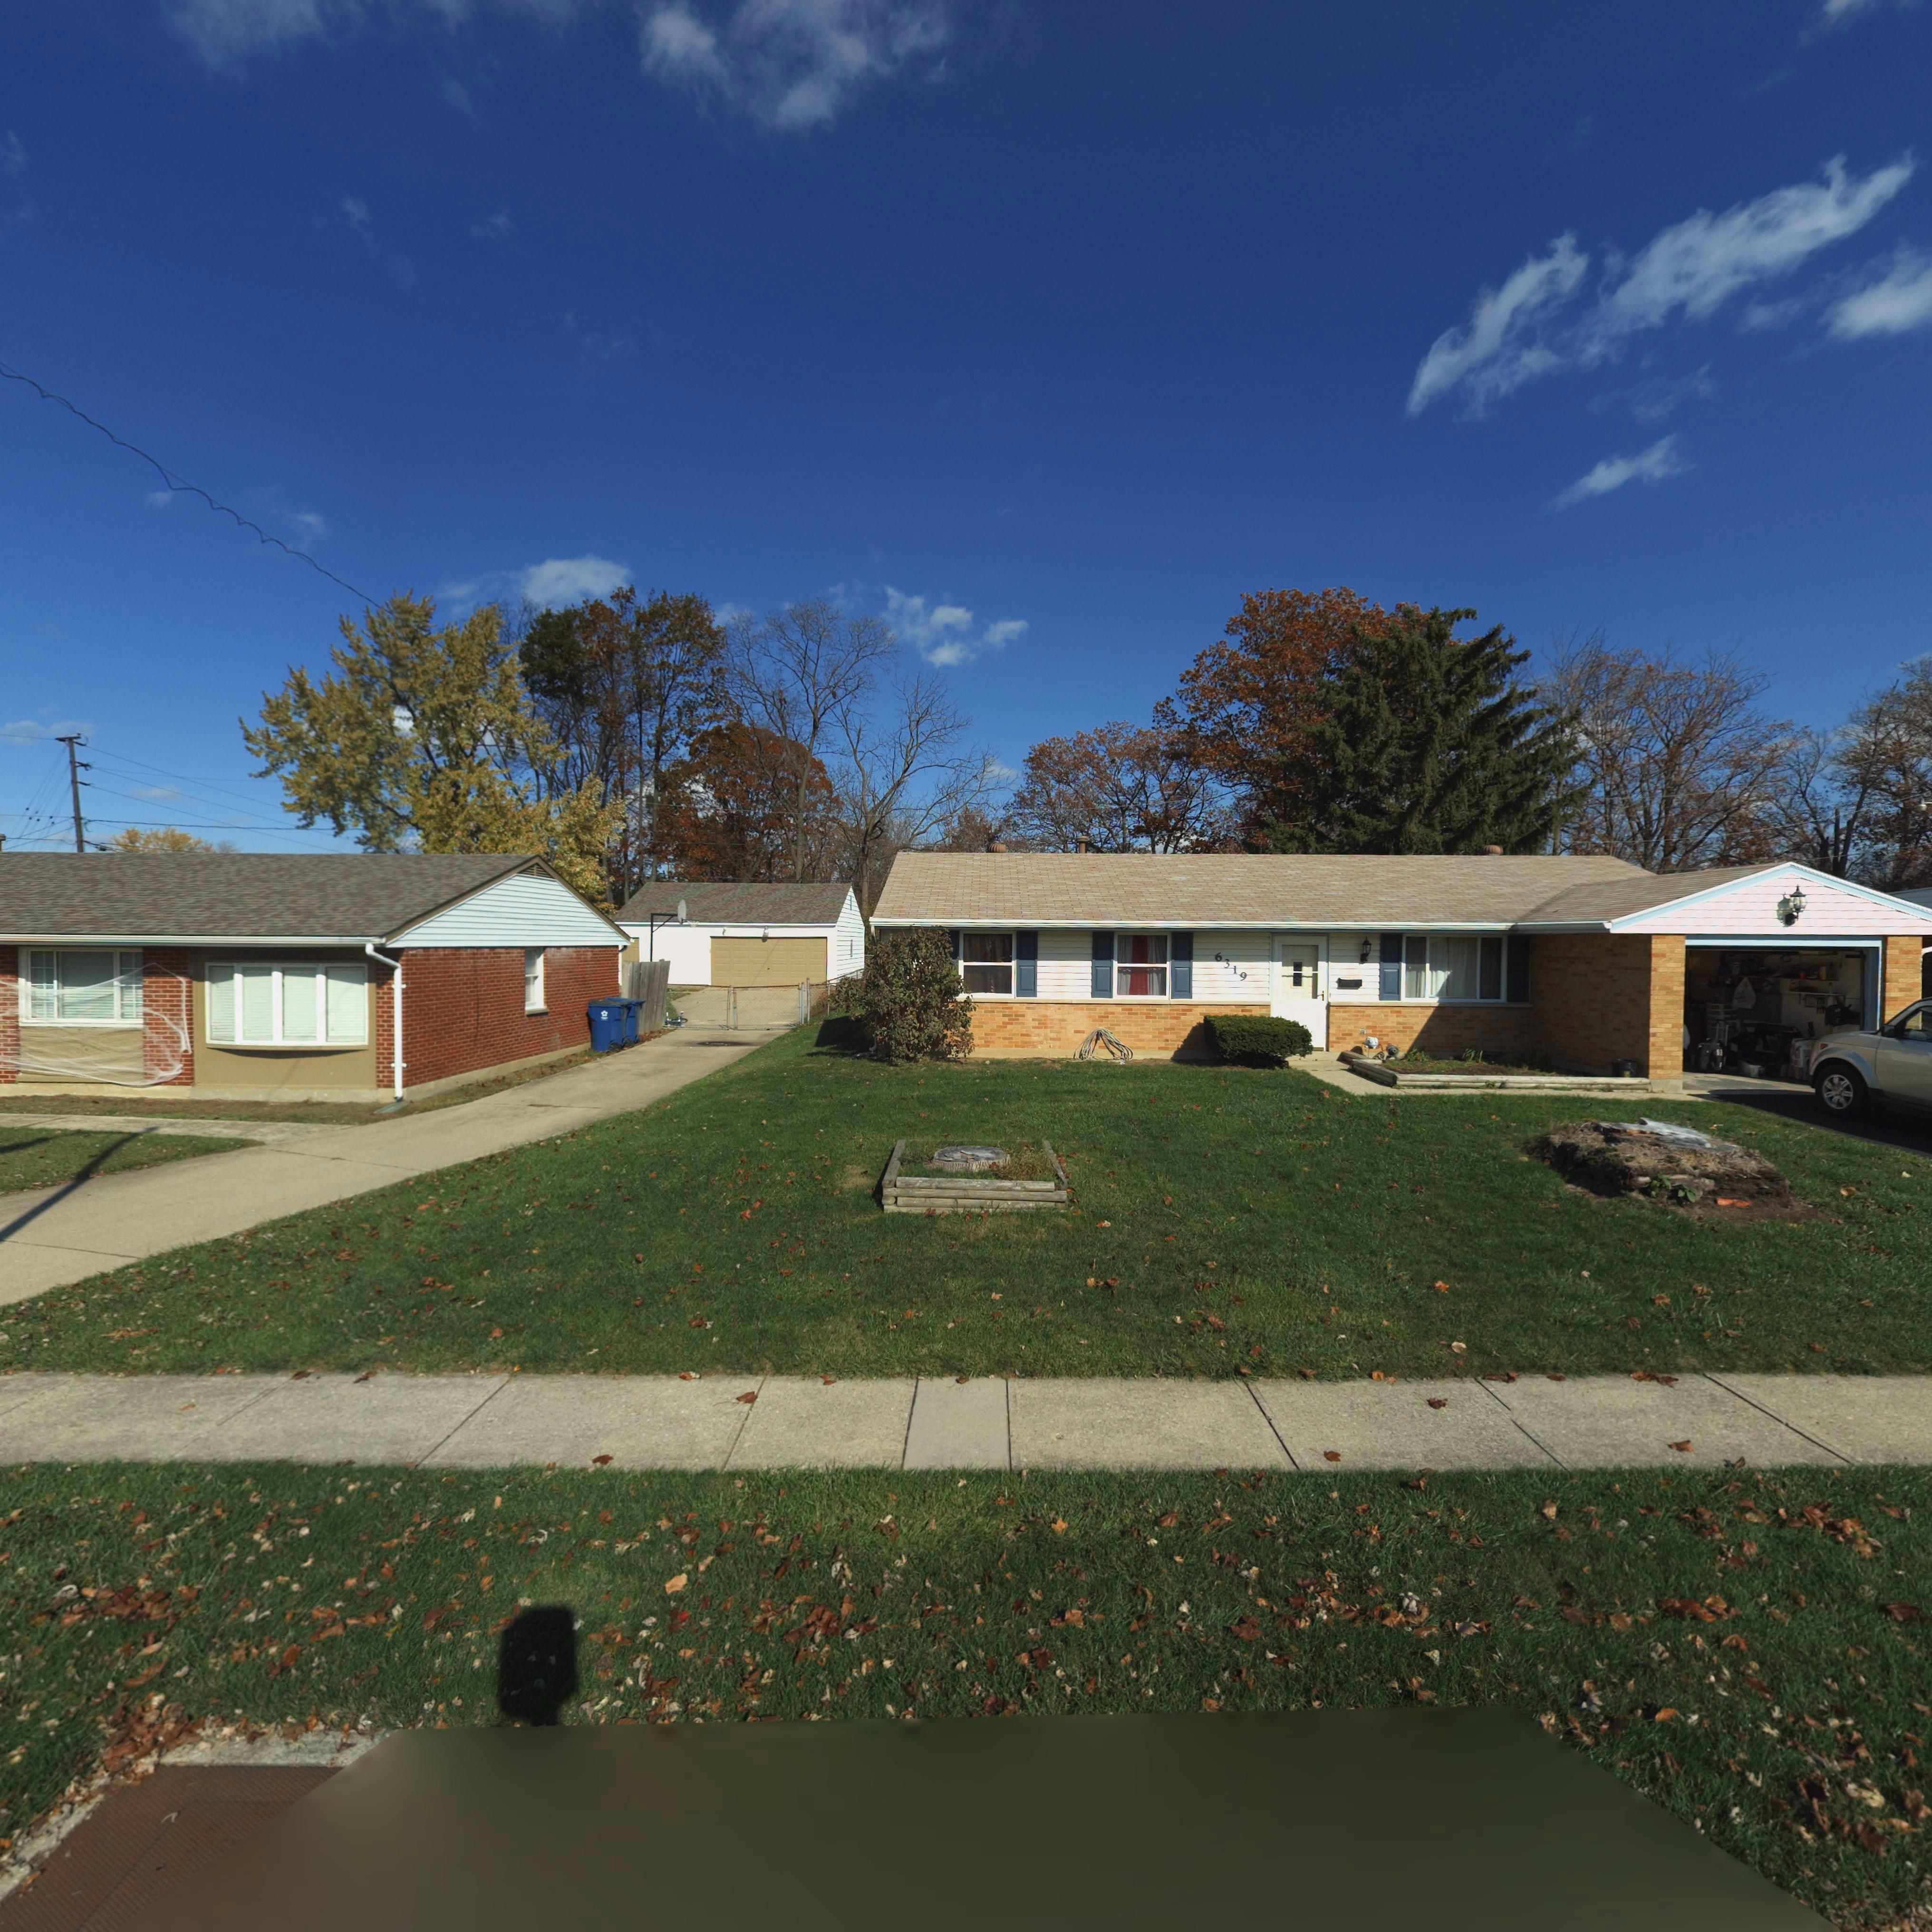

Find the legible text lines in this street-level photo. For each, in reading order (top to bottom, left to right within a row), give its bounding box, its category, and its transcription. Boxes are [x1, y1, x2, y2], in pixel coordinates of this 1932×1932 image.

[1214, 951, 1247, 982] StreetNumber: 6319